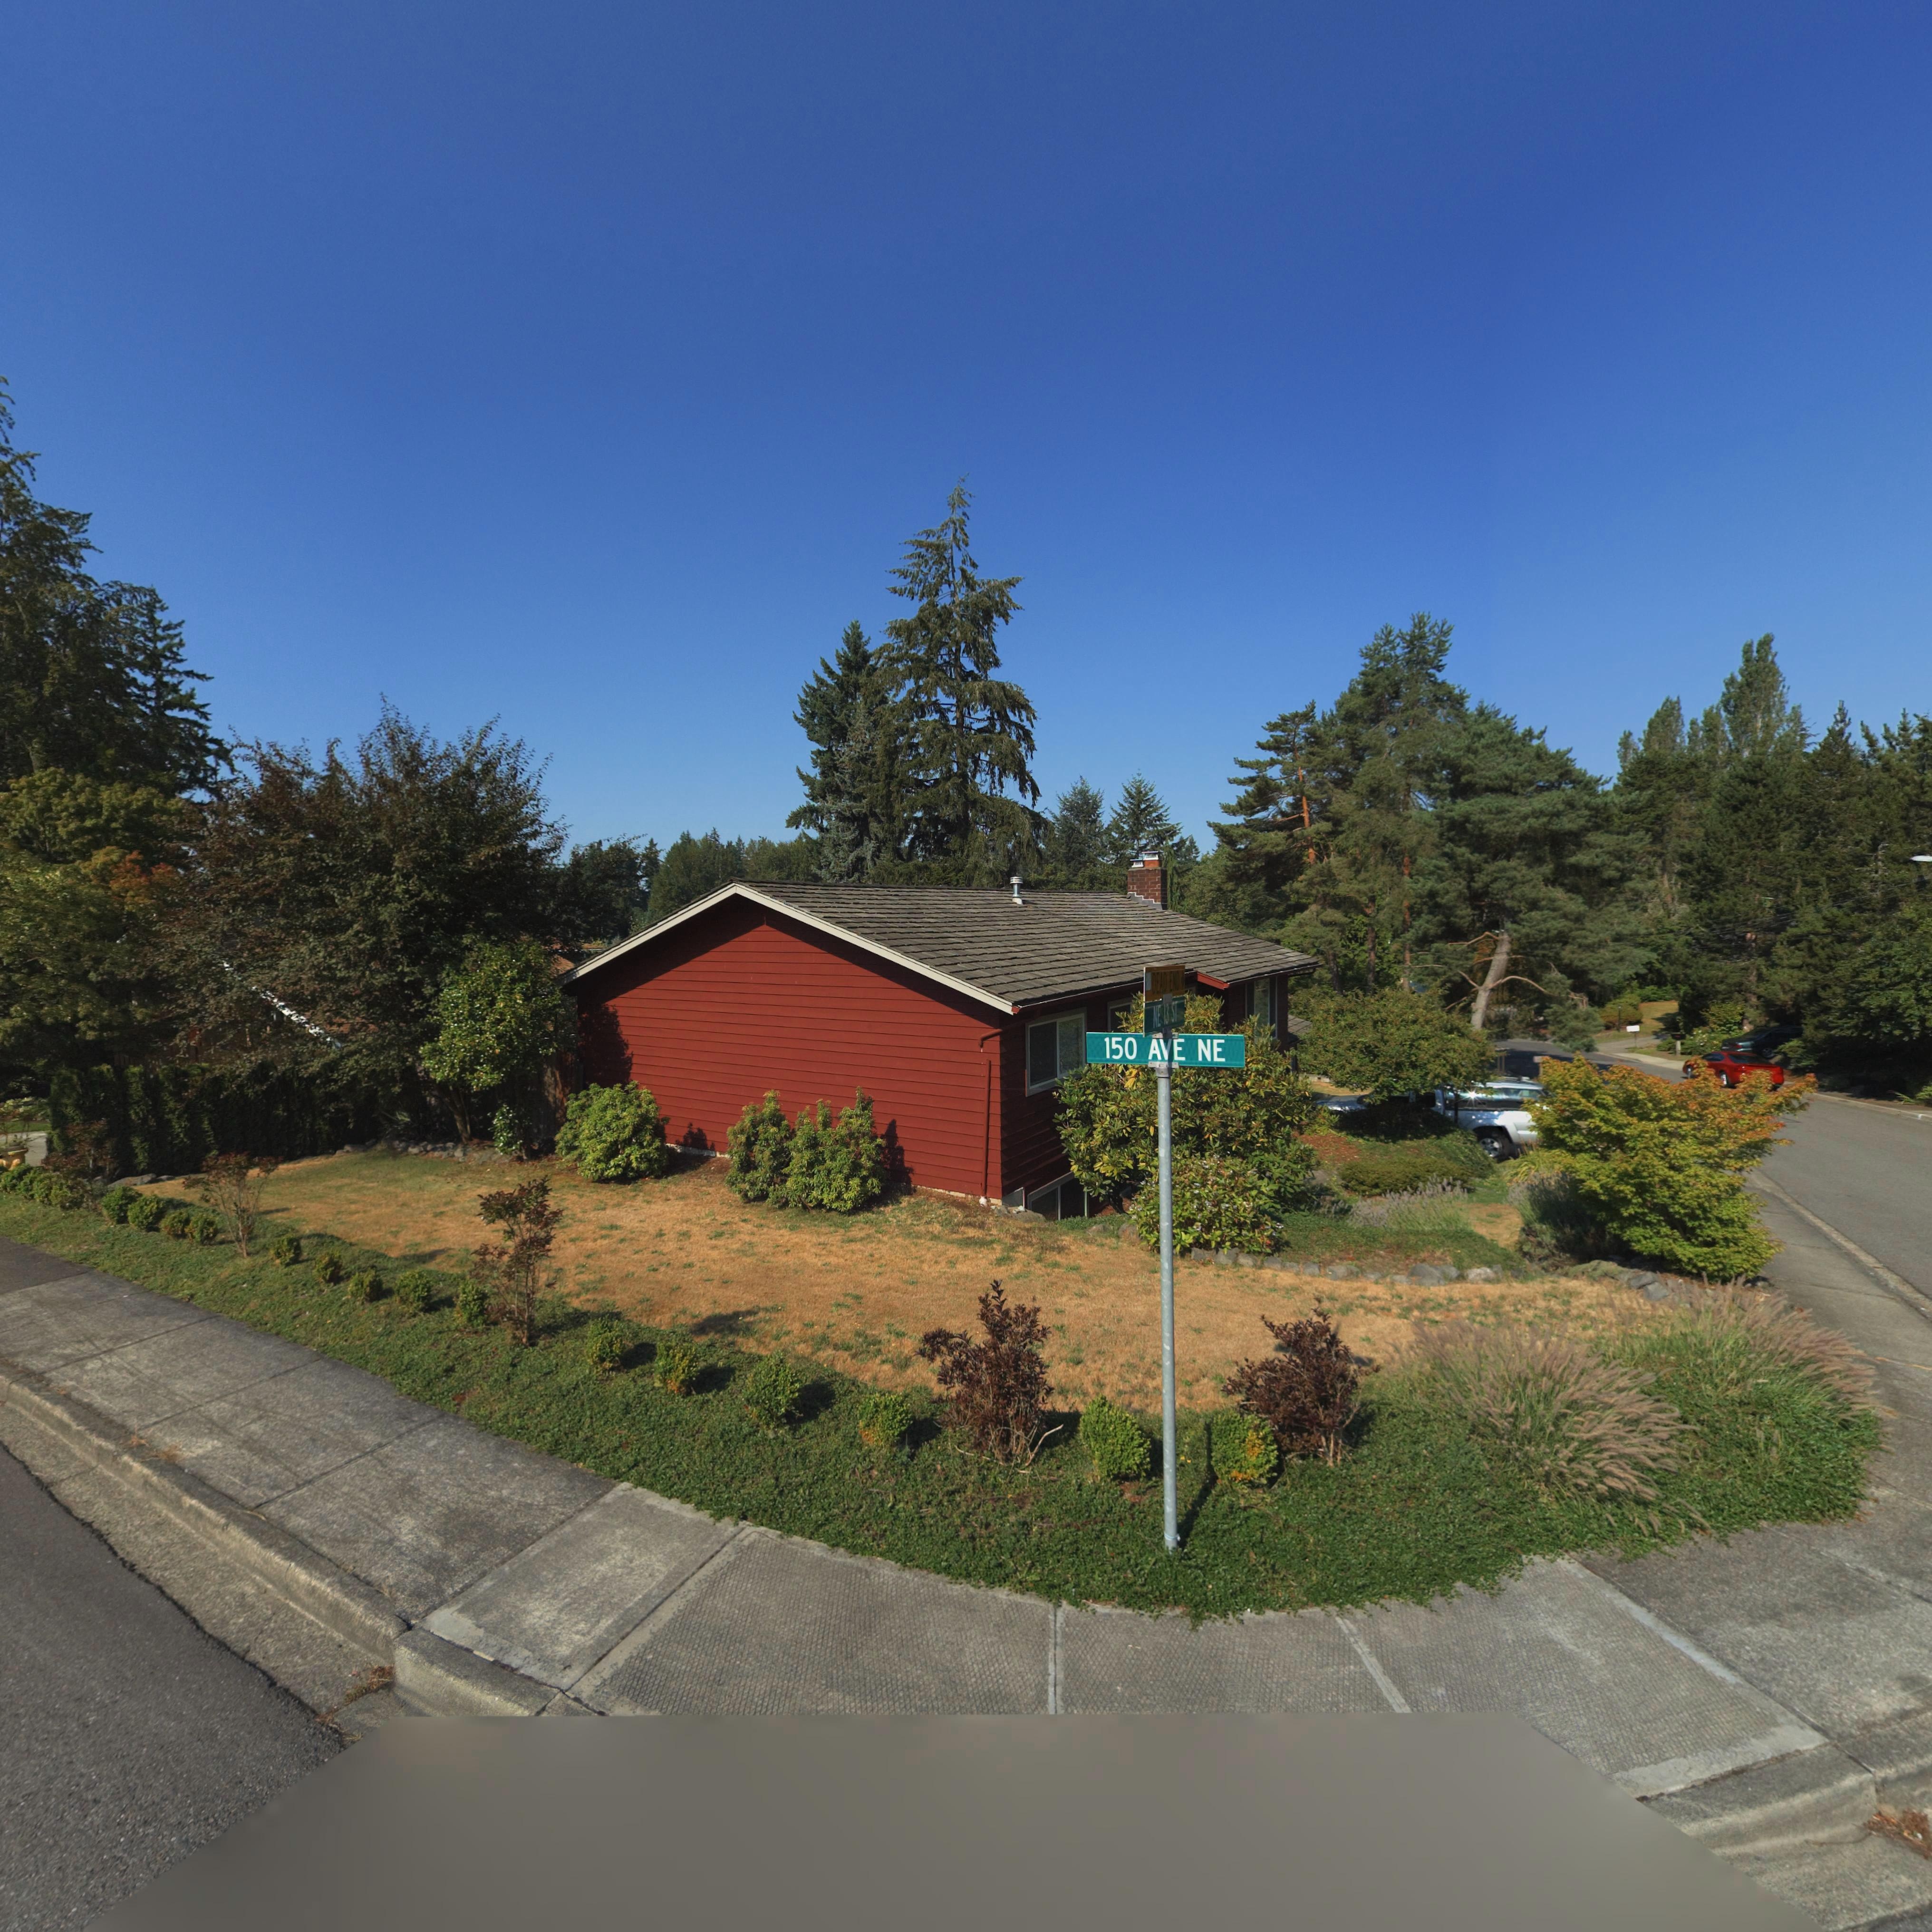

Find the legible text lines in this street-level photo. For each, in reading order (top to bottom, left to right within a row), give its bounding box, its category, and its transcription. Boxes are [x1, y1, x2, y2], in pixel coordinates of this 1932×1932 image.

[1150, 969, 1182, 996] None: DEAD END
[1150, 999, 1180, 1031] StreetName: NE 13 ST
[1104, 1037, 1225, 1062] StreetName: 150 ANE NE